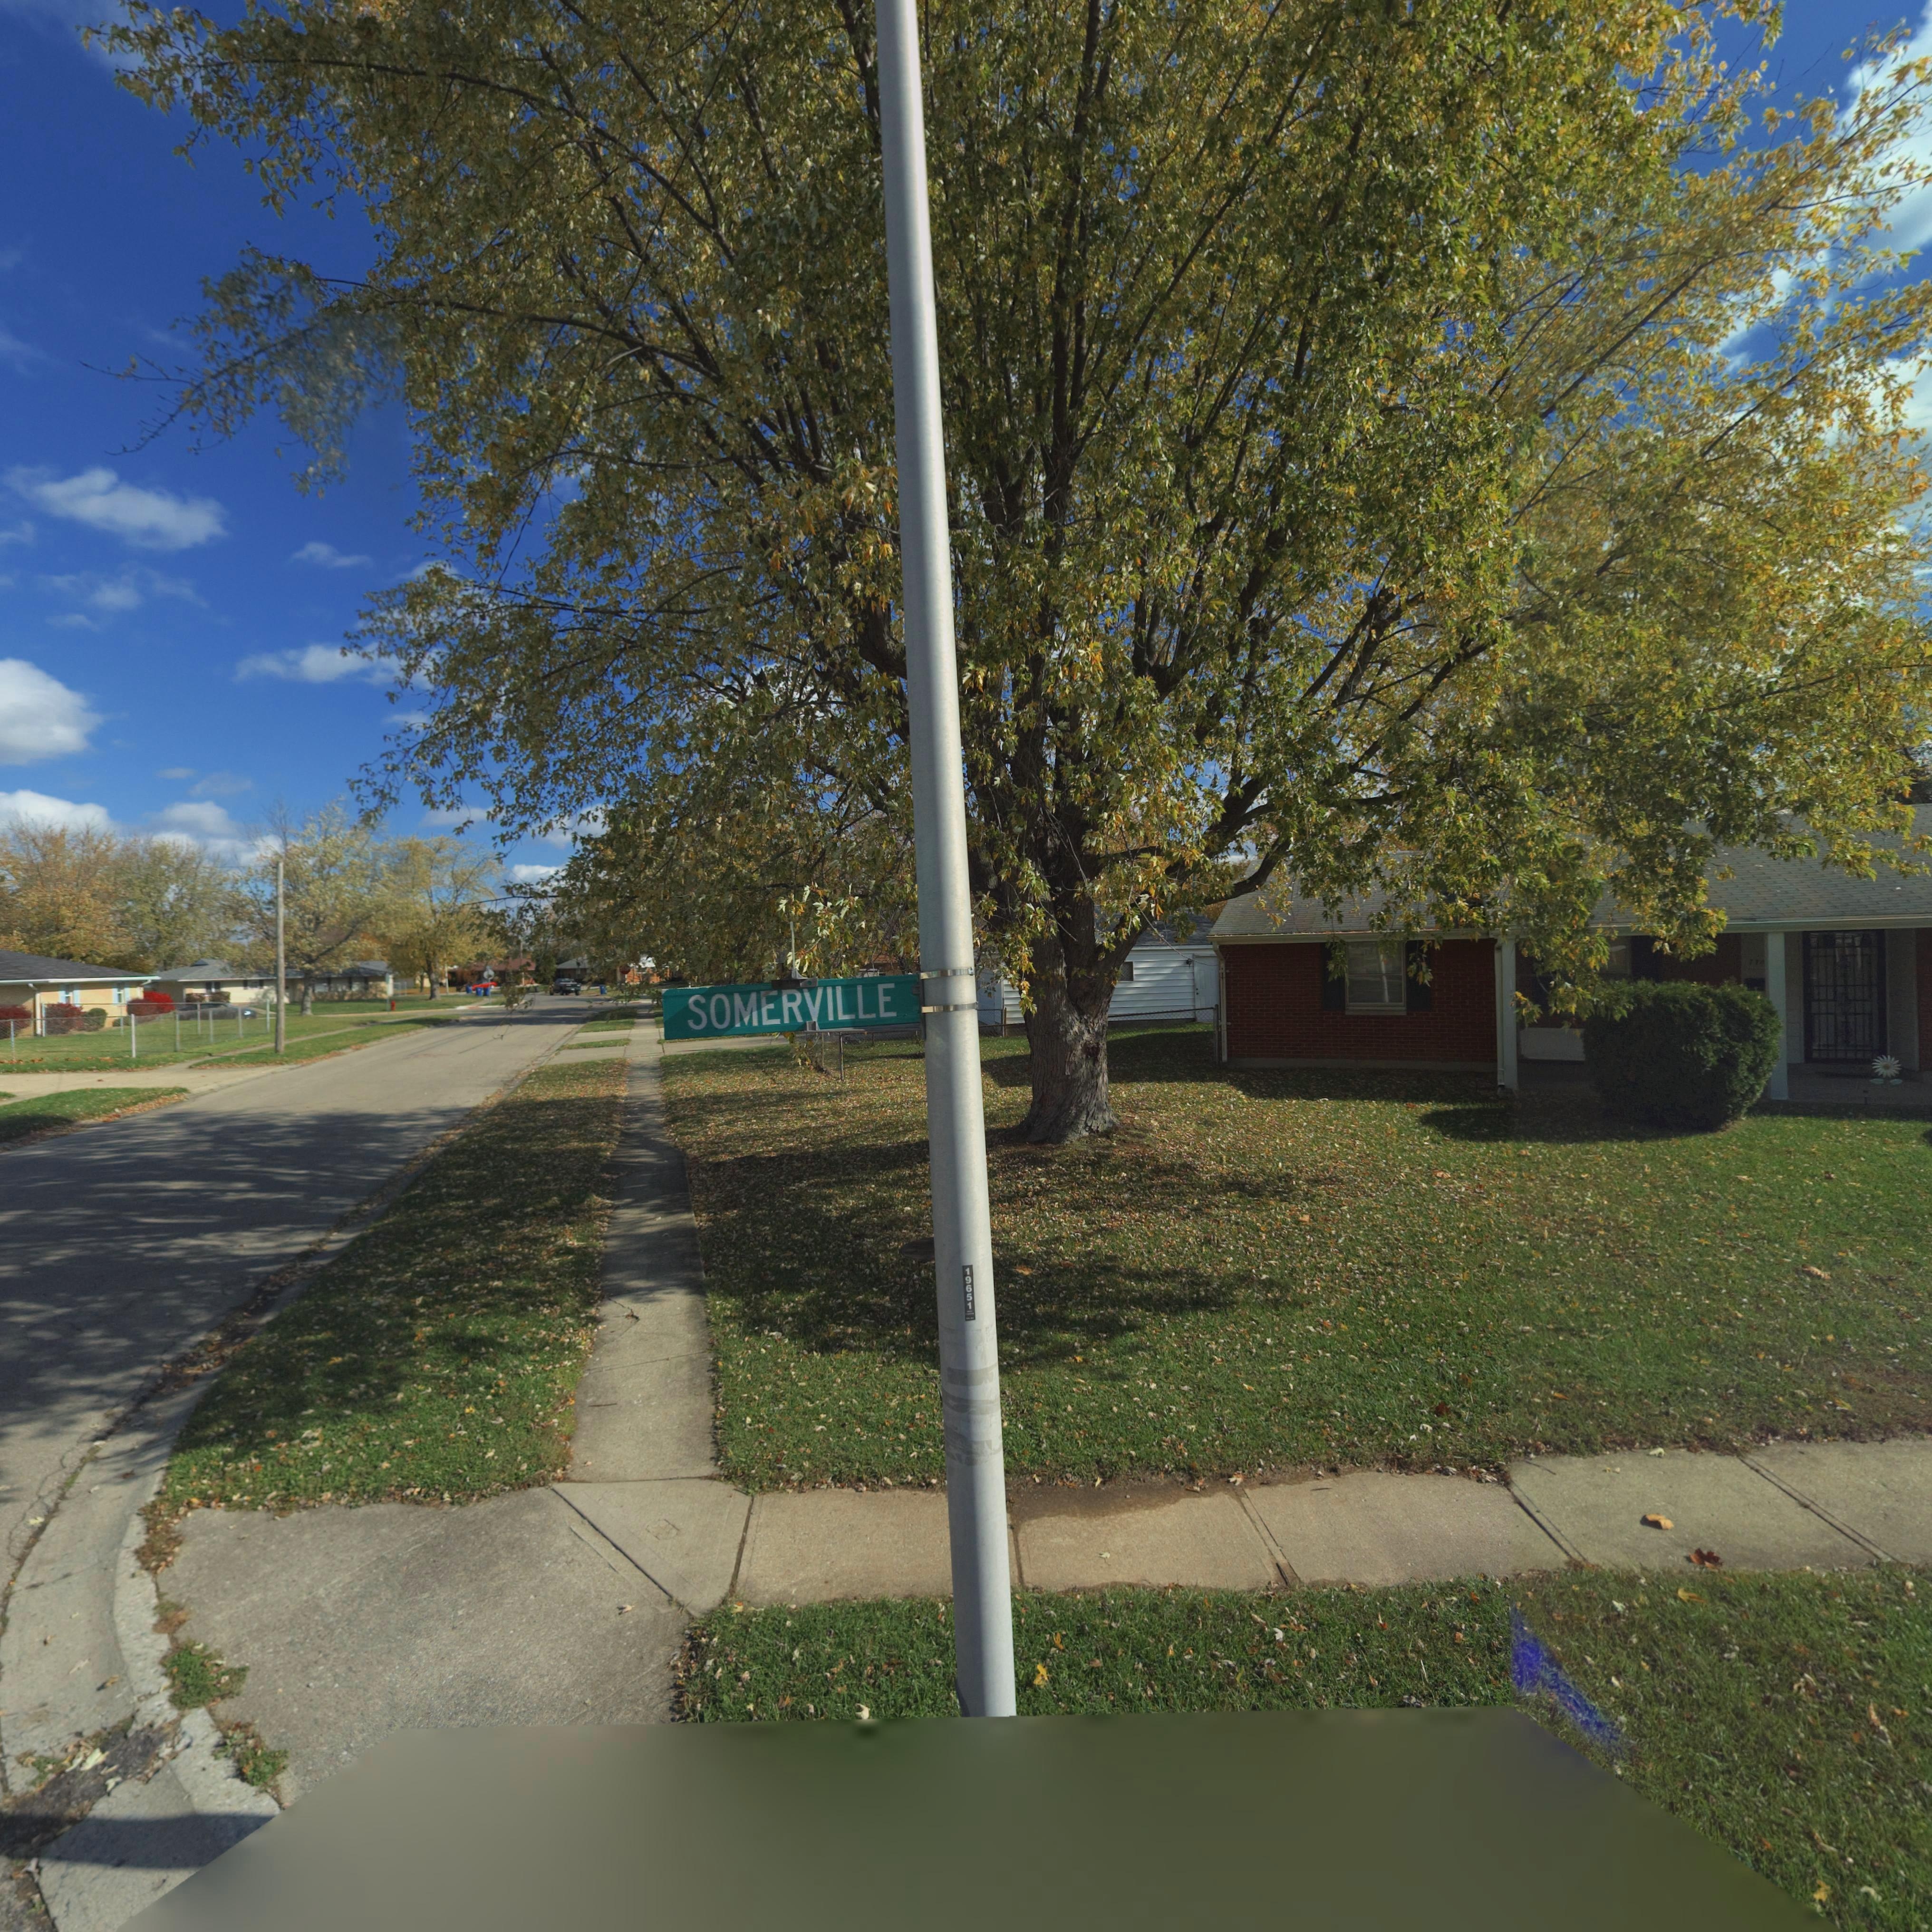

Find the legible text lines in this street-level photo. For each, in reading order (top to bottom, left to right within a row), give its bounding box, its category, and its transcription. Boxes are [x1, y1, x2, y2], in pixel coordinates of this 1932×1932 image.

[1748, 958, 1759, 966] StreetNumber: 77
[686, 981, 898, 1032] StreetName: SOMERVILLE